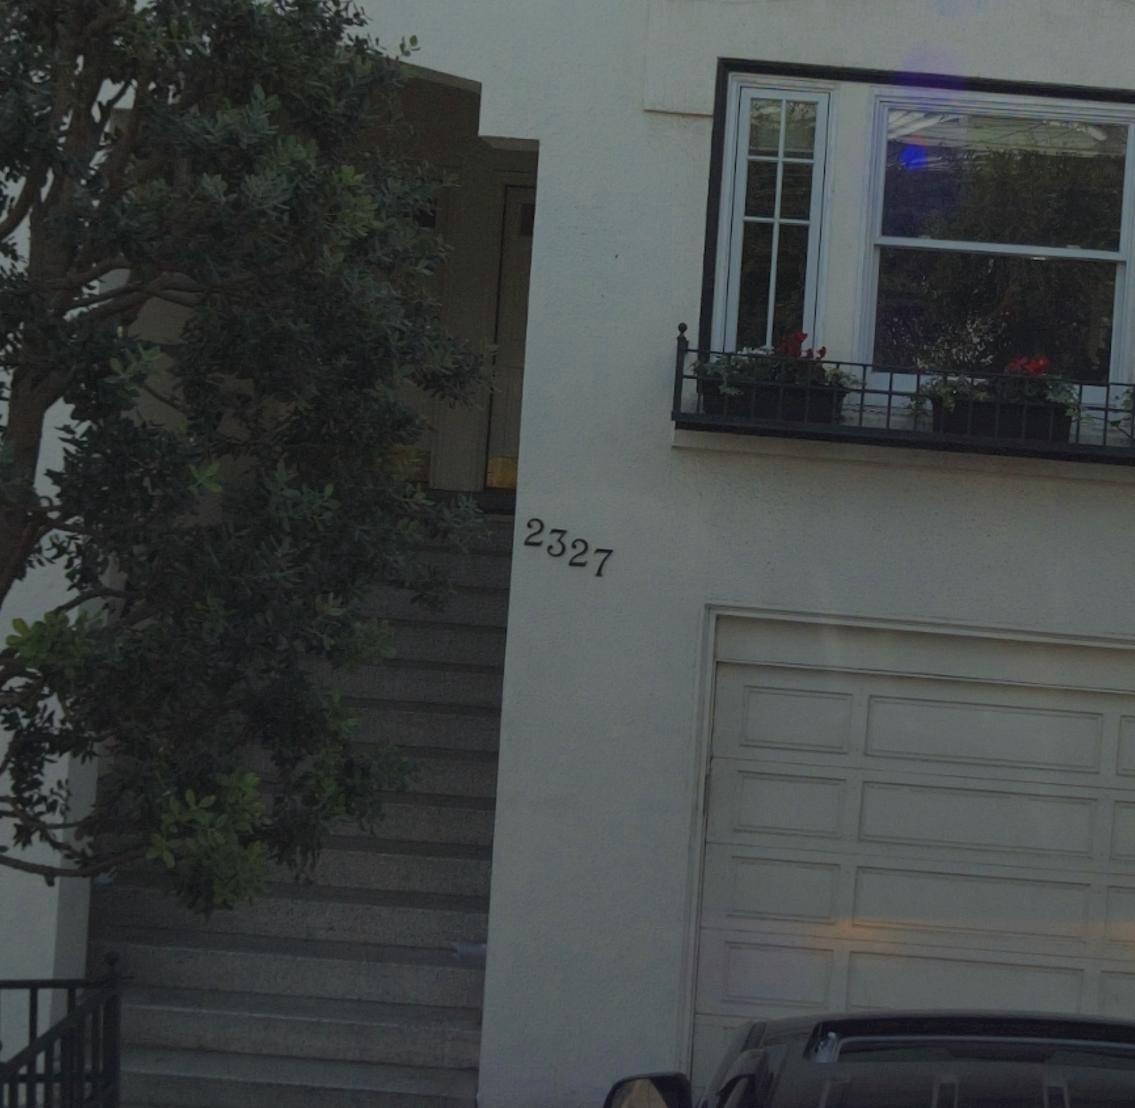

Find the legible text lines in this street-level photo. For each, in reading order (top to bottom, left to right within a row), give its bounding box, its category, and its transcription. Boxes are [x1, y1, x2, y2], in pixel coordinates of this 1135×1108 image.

[520, 514, 616, 582] StreetNumber: 2327